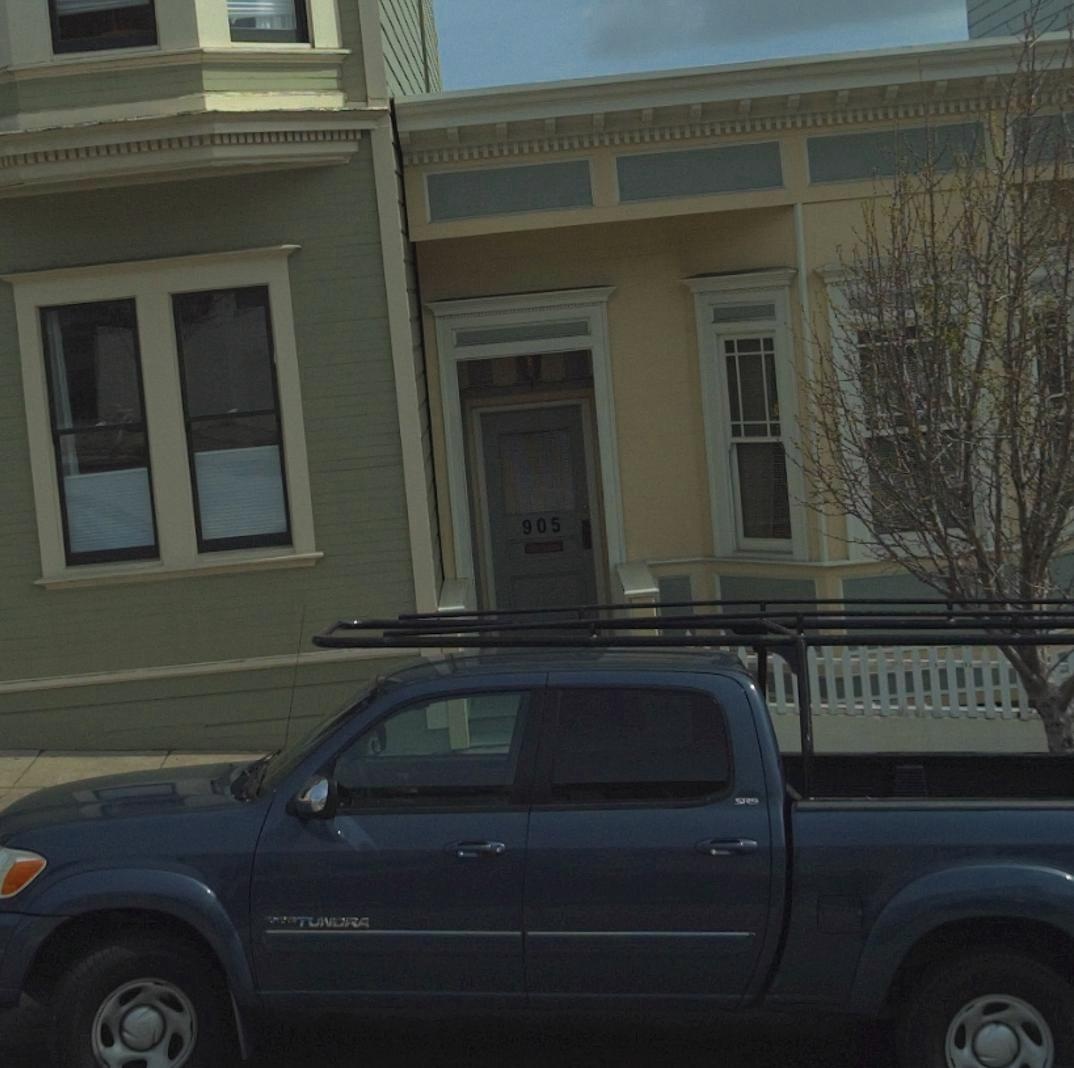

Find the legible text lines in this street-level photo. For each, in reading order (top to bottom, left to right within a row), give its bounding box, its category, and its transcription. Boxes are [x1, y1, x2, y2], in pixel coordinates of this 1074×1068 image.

[520, 516, 562, 535] StreetNumber: 905
[295, 914, 370, 930] None: TUNDRA